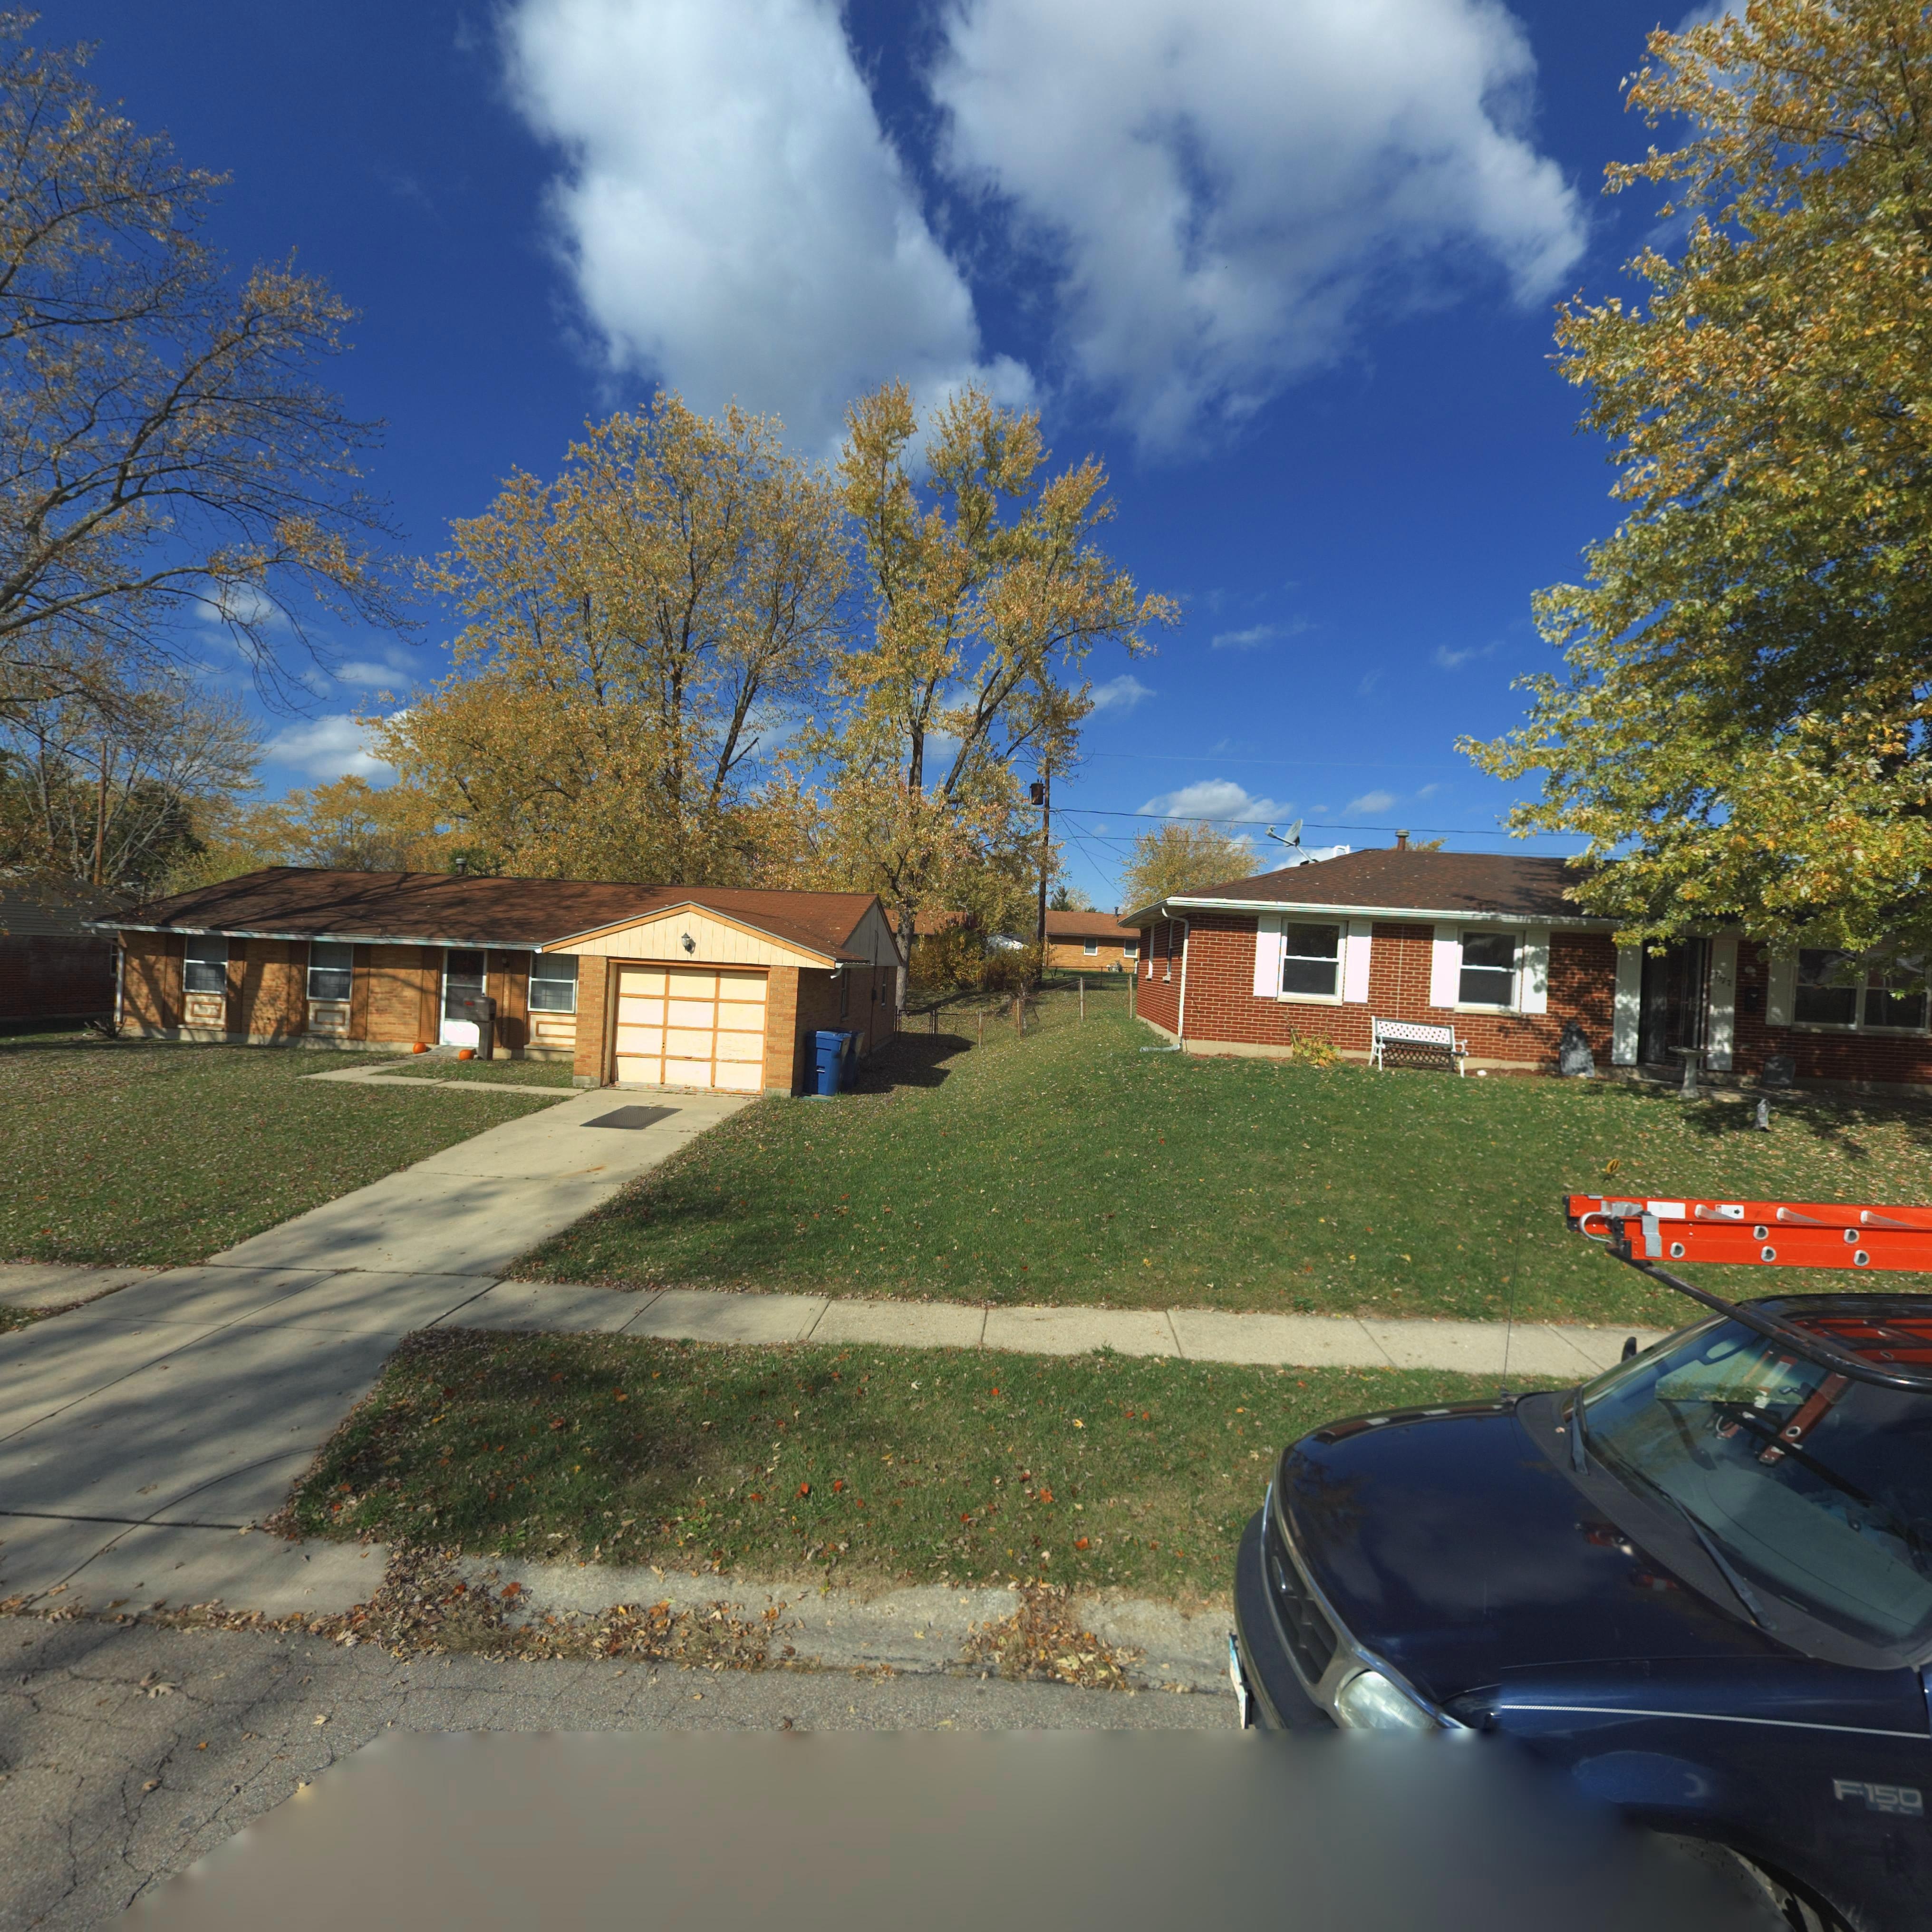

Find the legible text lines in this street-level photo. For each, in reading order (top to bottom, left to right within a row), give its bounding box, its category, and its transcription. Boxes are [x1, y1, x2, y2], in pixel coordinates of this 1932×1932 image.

[1714, 971, 1732, 987] StreetNumber: 7577